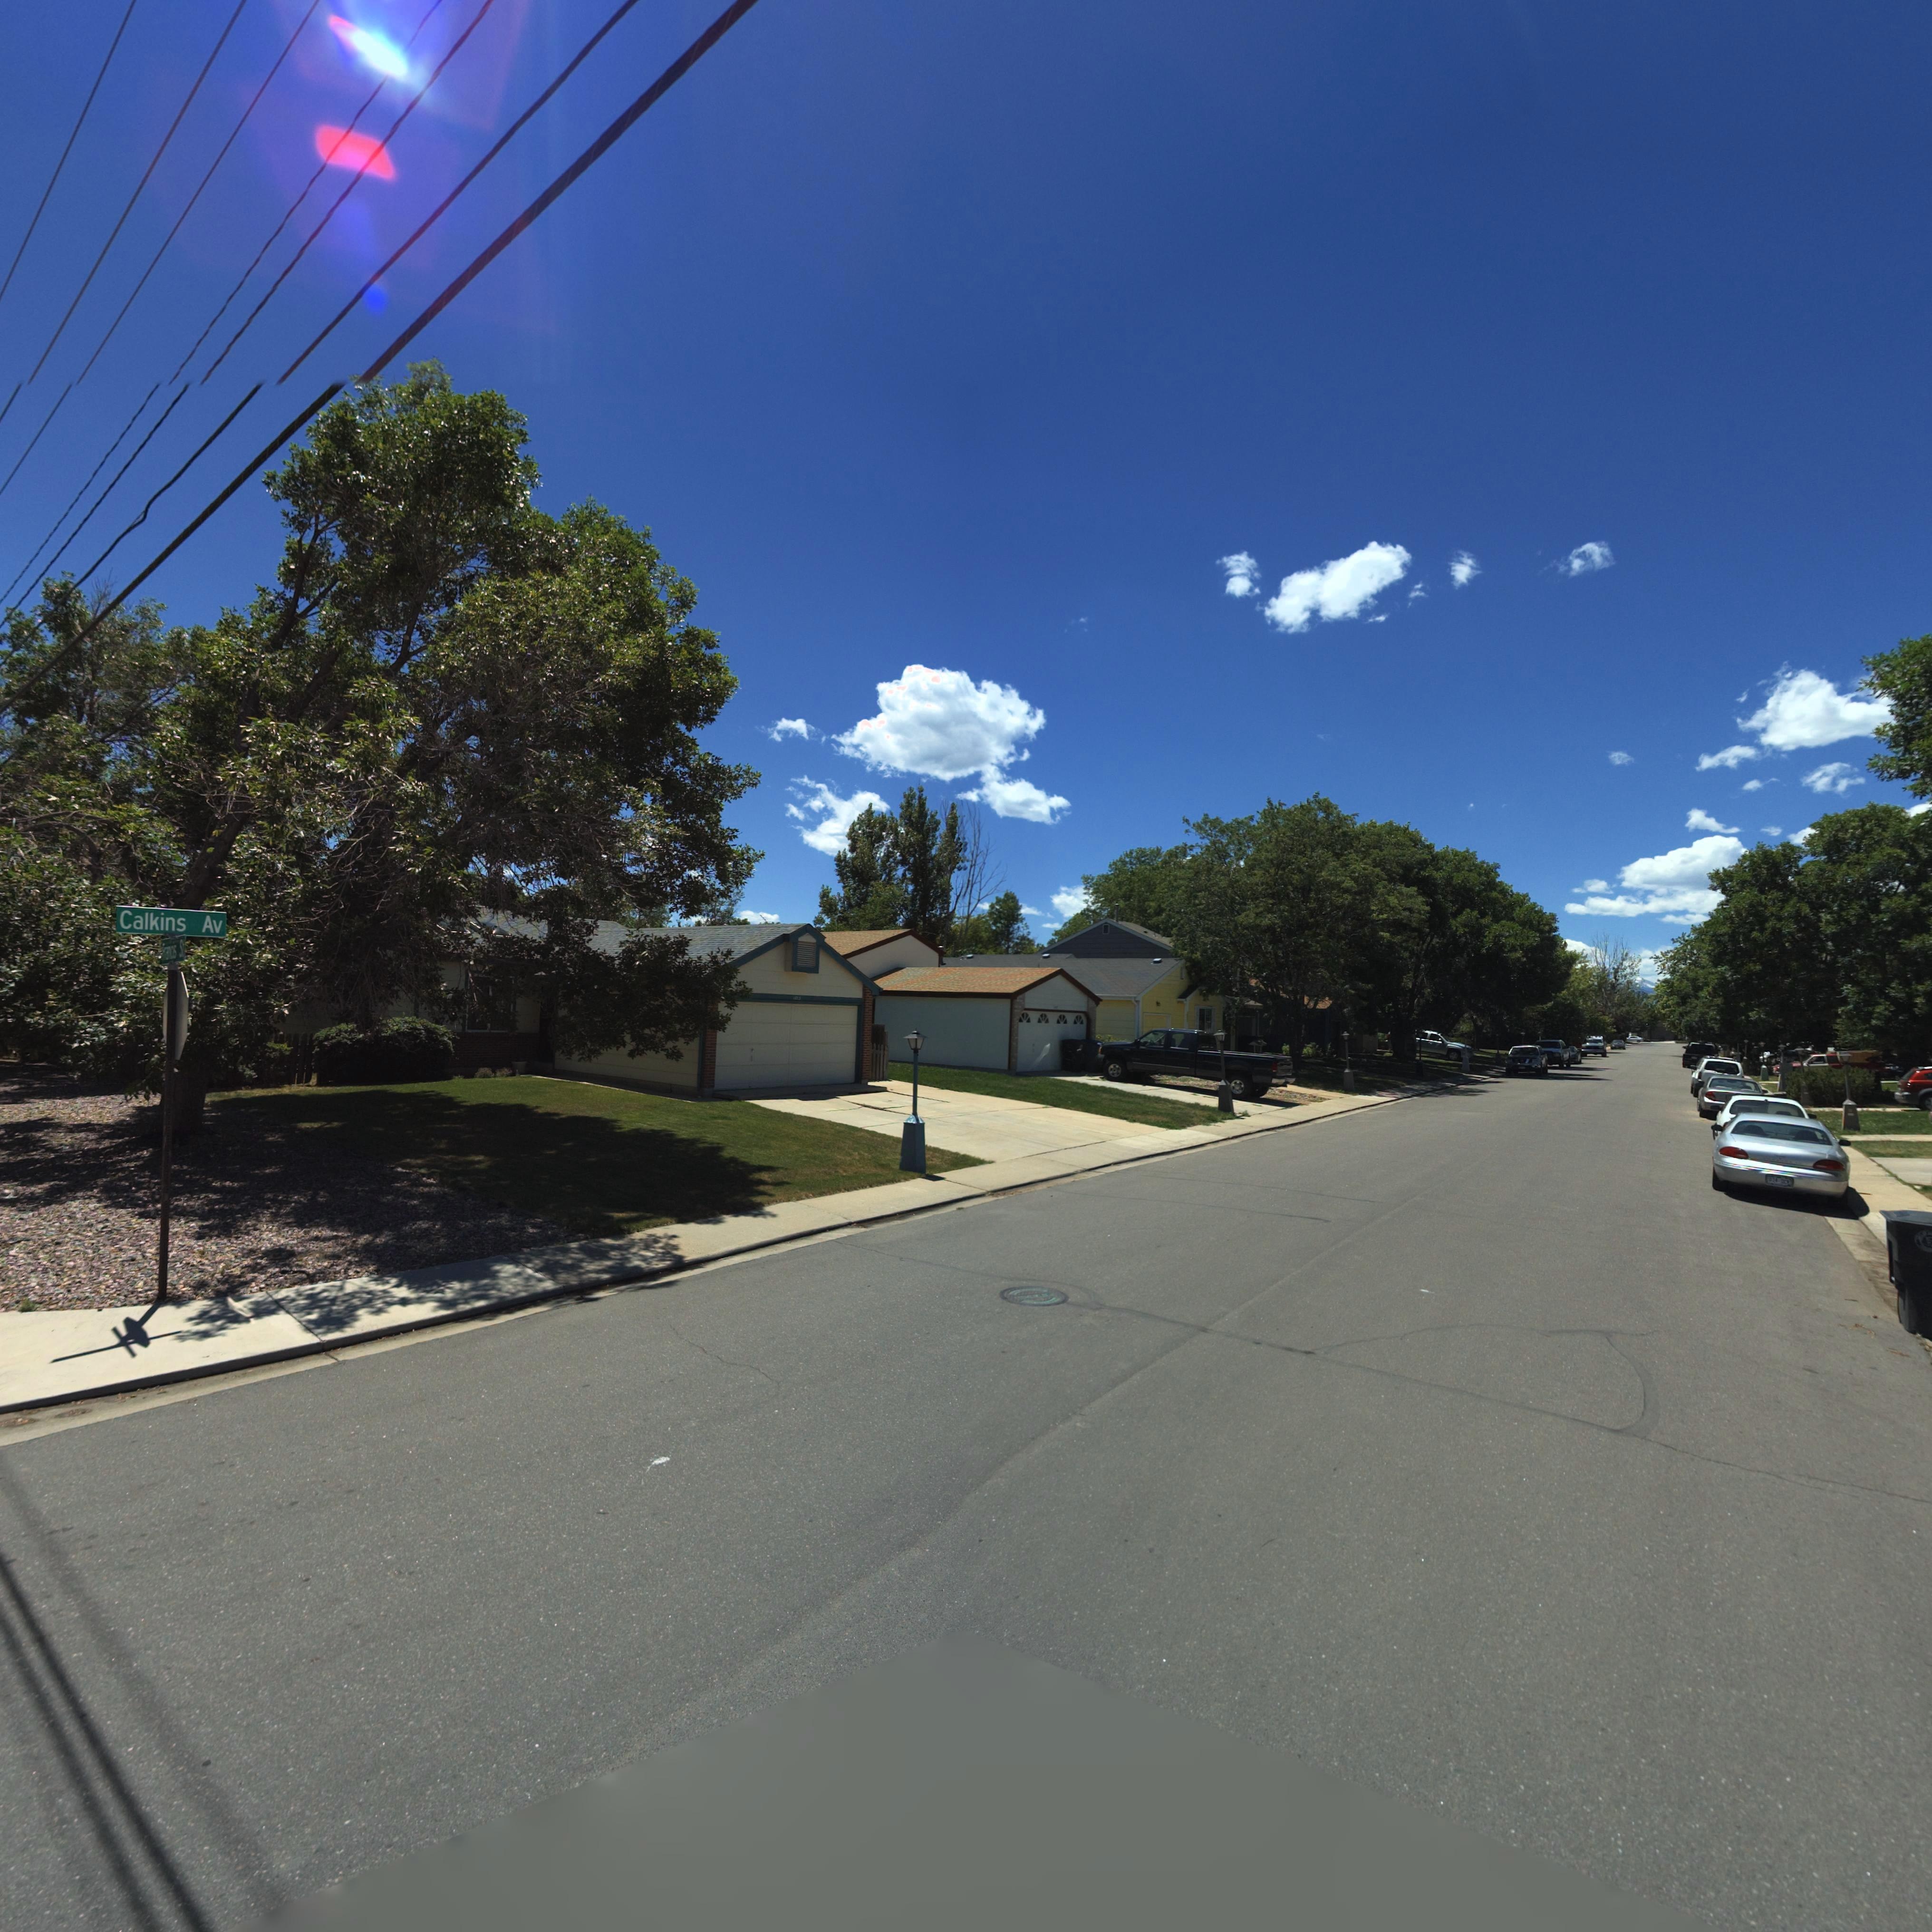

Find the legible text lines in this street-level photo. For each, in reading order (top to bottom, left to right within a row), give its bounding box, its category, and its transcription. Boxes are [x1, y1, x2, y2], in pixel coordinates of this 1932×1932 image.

[119, 909, 223, 934] StreetName: Calkins Av
[162, 938, 184, 960] StreetName: **a**is S*
[792, 995, 801, 1000] StreetNumber: 1**3